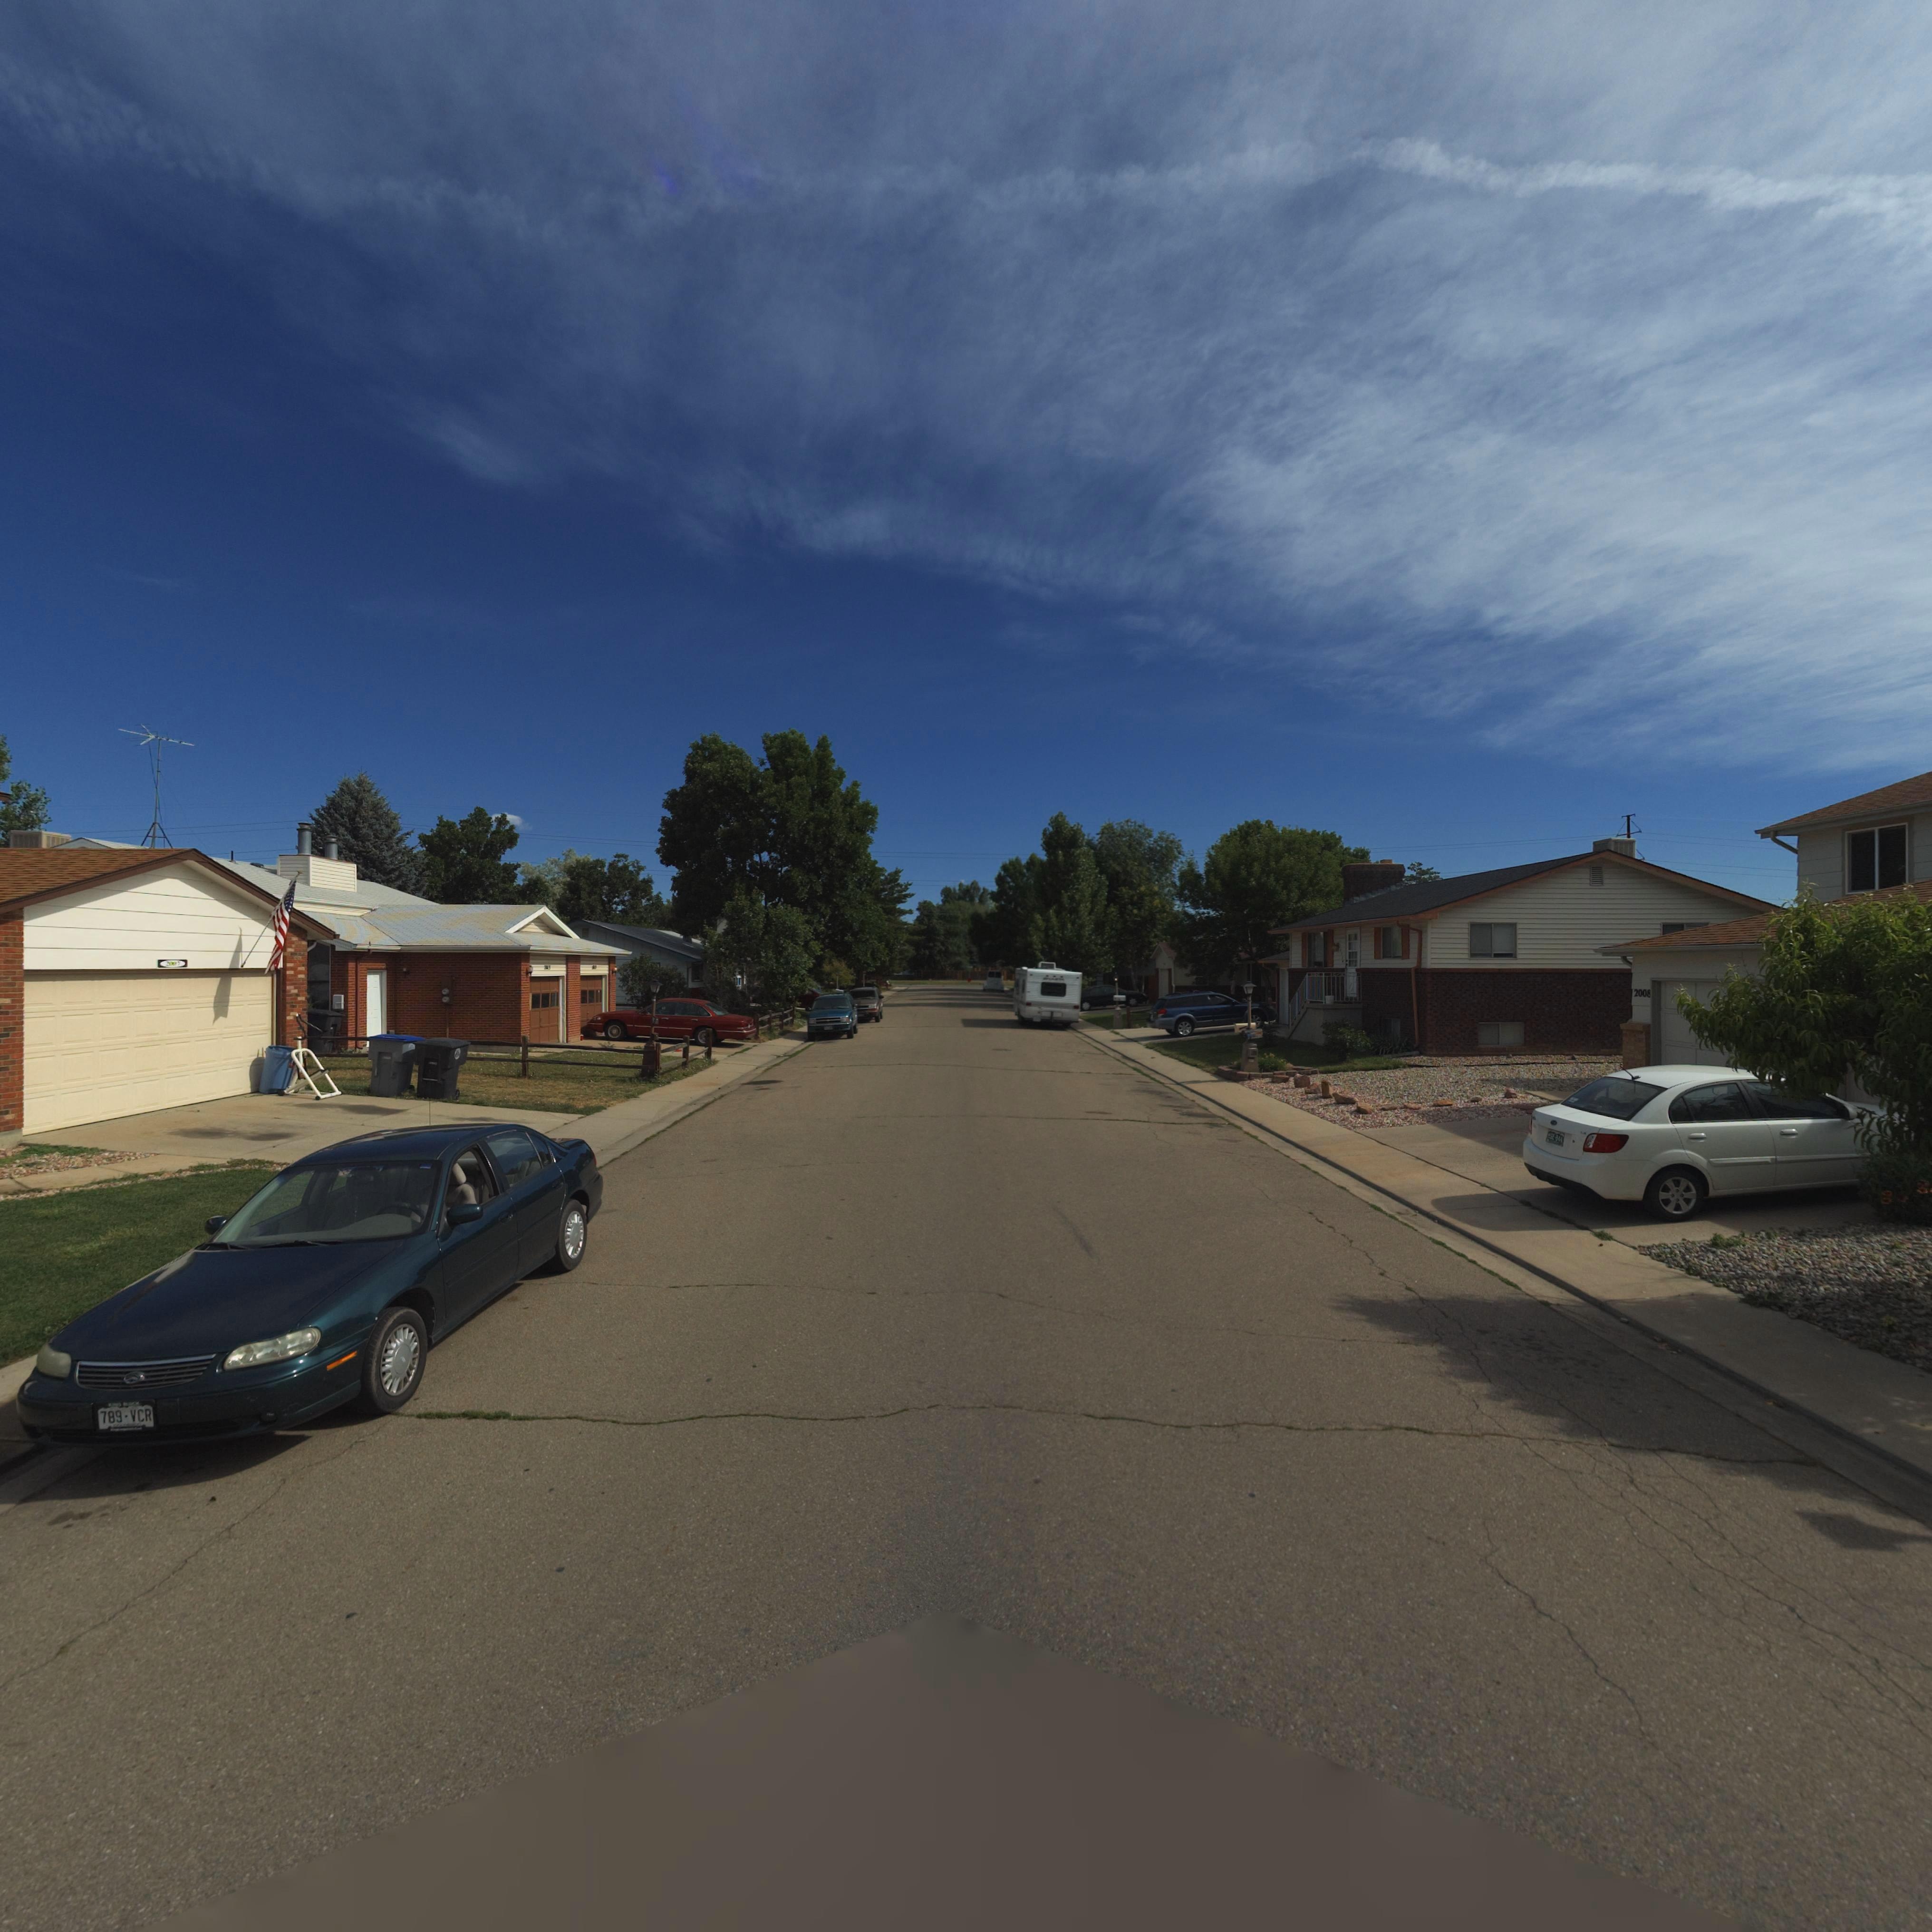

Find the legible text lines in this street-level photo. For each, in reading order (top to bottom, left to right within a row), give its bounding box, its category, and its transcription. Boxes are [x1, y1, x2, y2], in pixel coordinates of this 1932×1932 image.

[544, 965, 551, 970] StreetNumber: 20**
[591, 965, 597, 969] StreetNumber: 2***
[1633, 988, 1651, 998] StreetNumber: 2008